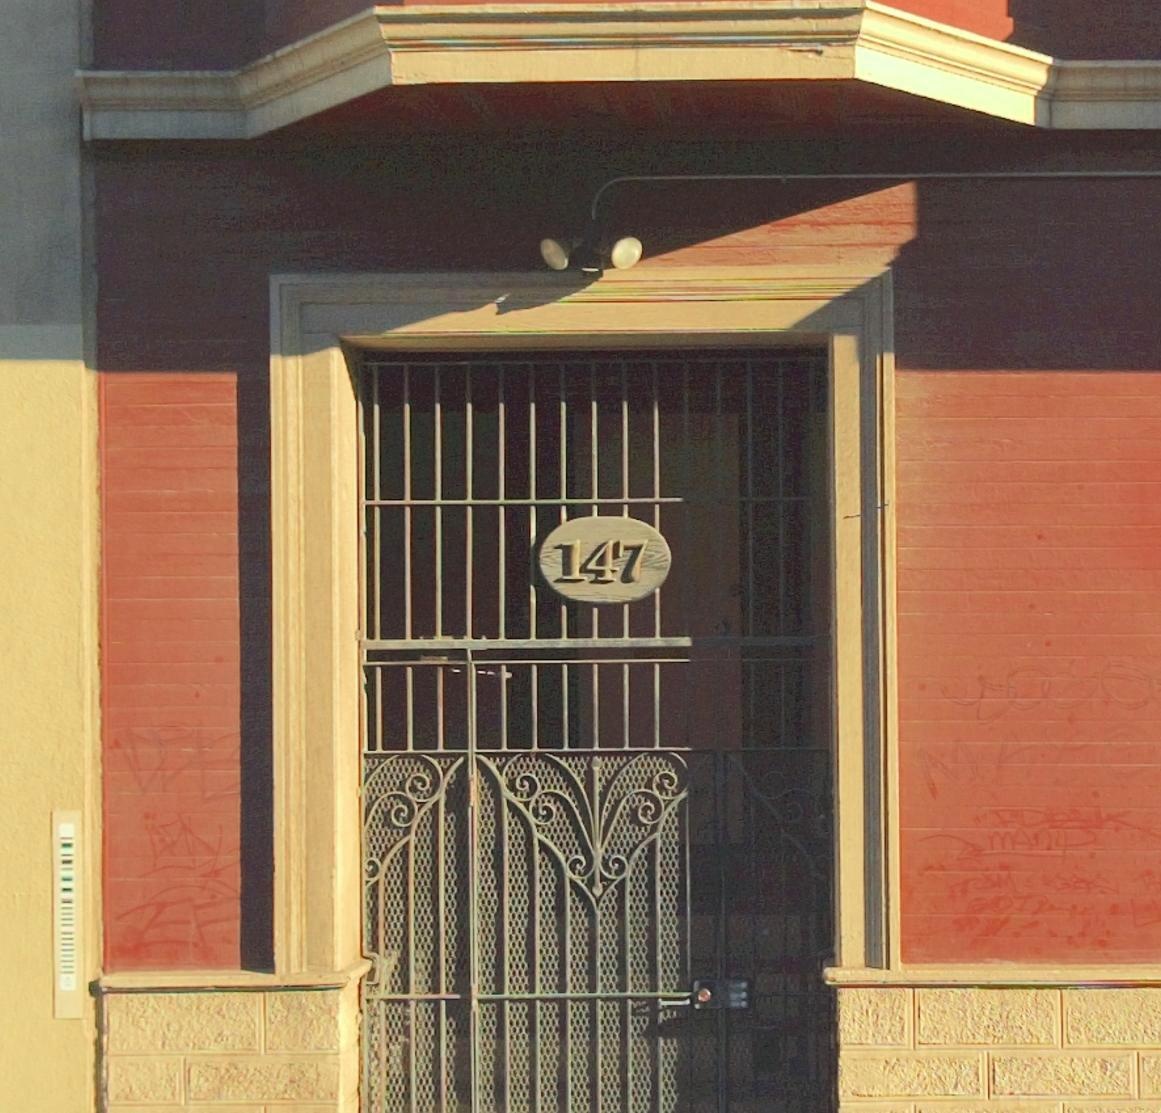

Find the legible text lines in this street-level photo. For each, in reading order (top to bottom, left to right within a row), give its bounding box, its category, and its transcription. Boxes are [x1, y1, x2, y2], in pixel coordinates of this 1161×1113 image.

[554, 537, 652, 584] StreetNumber: 147